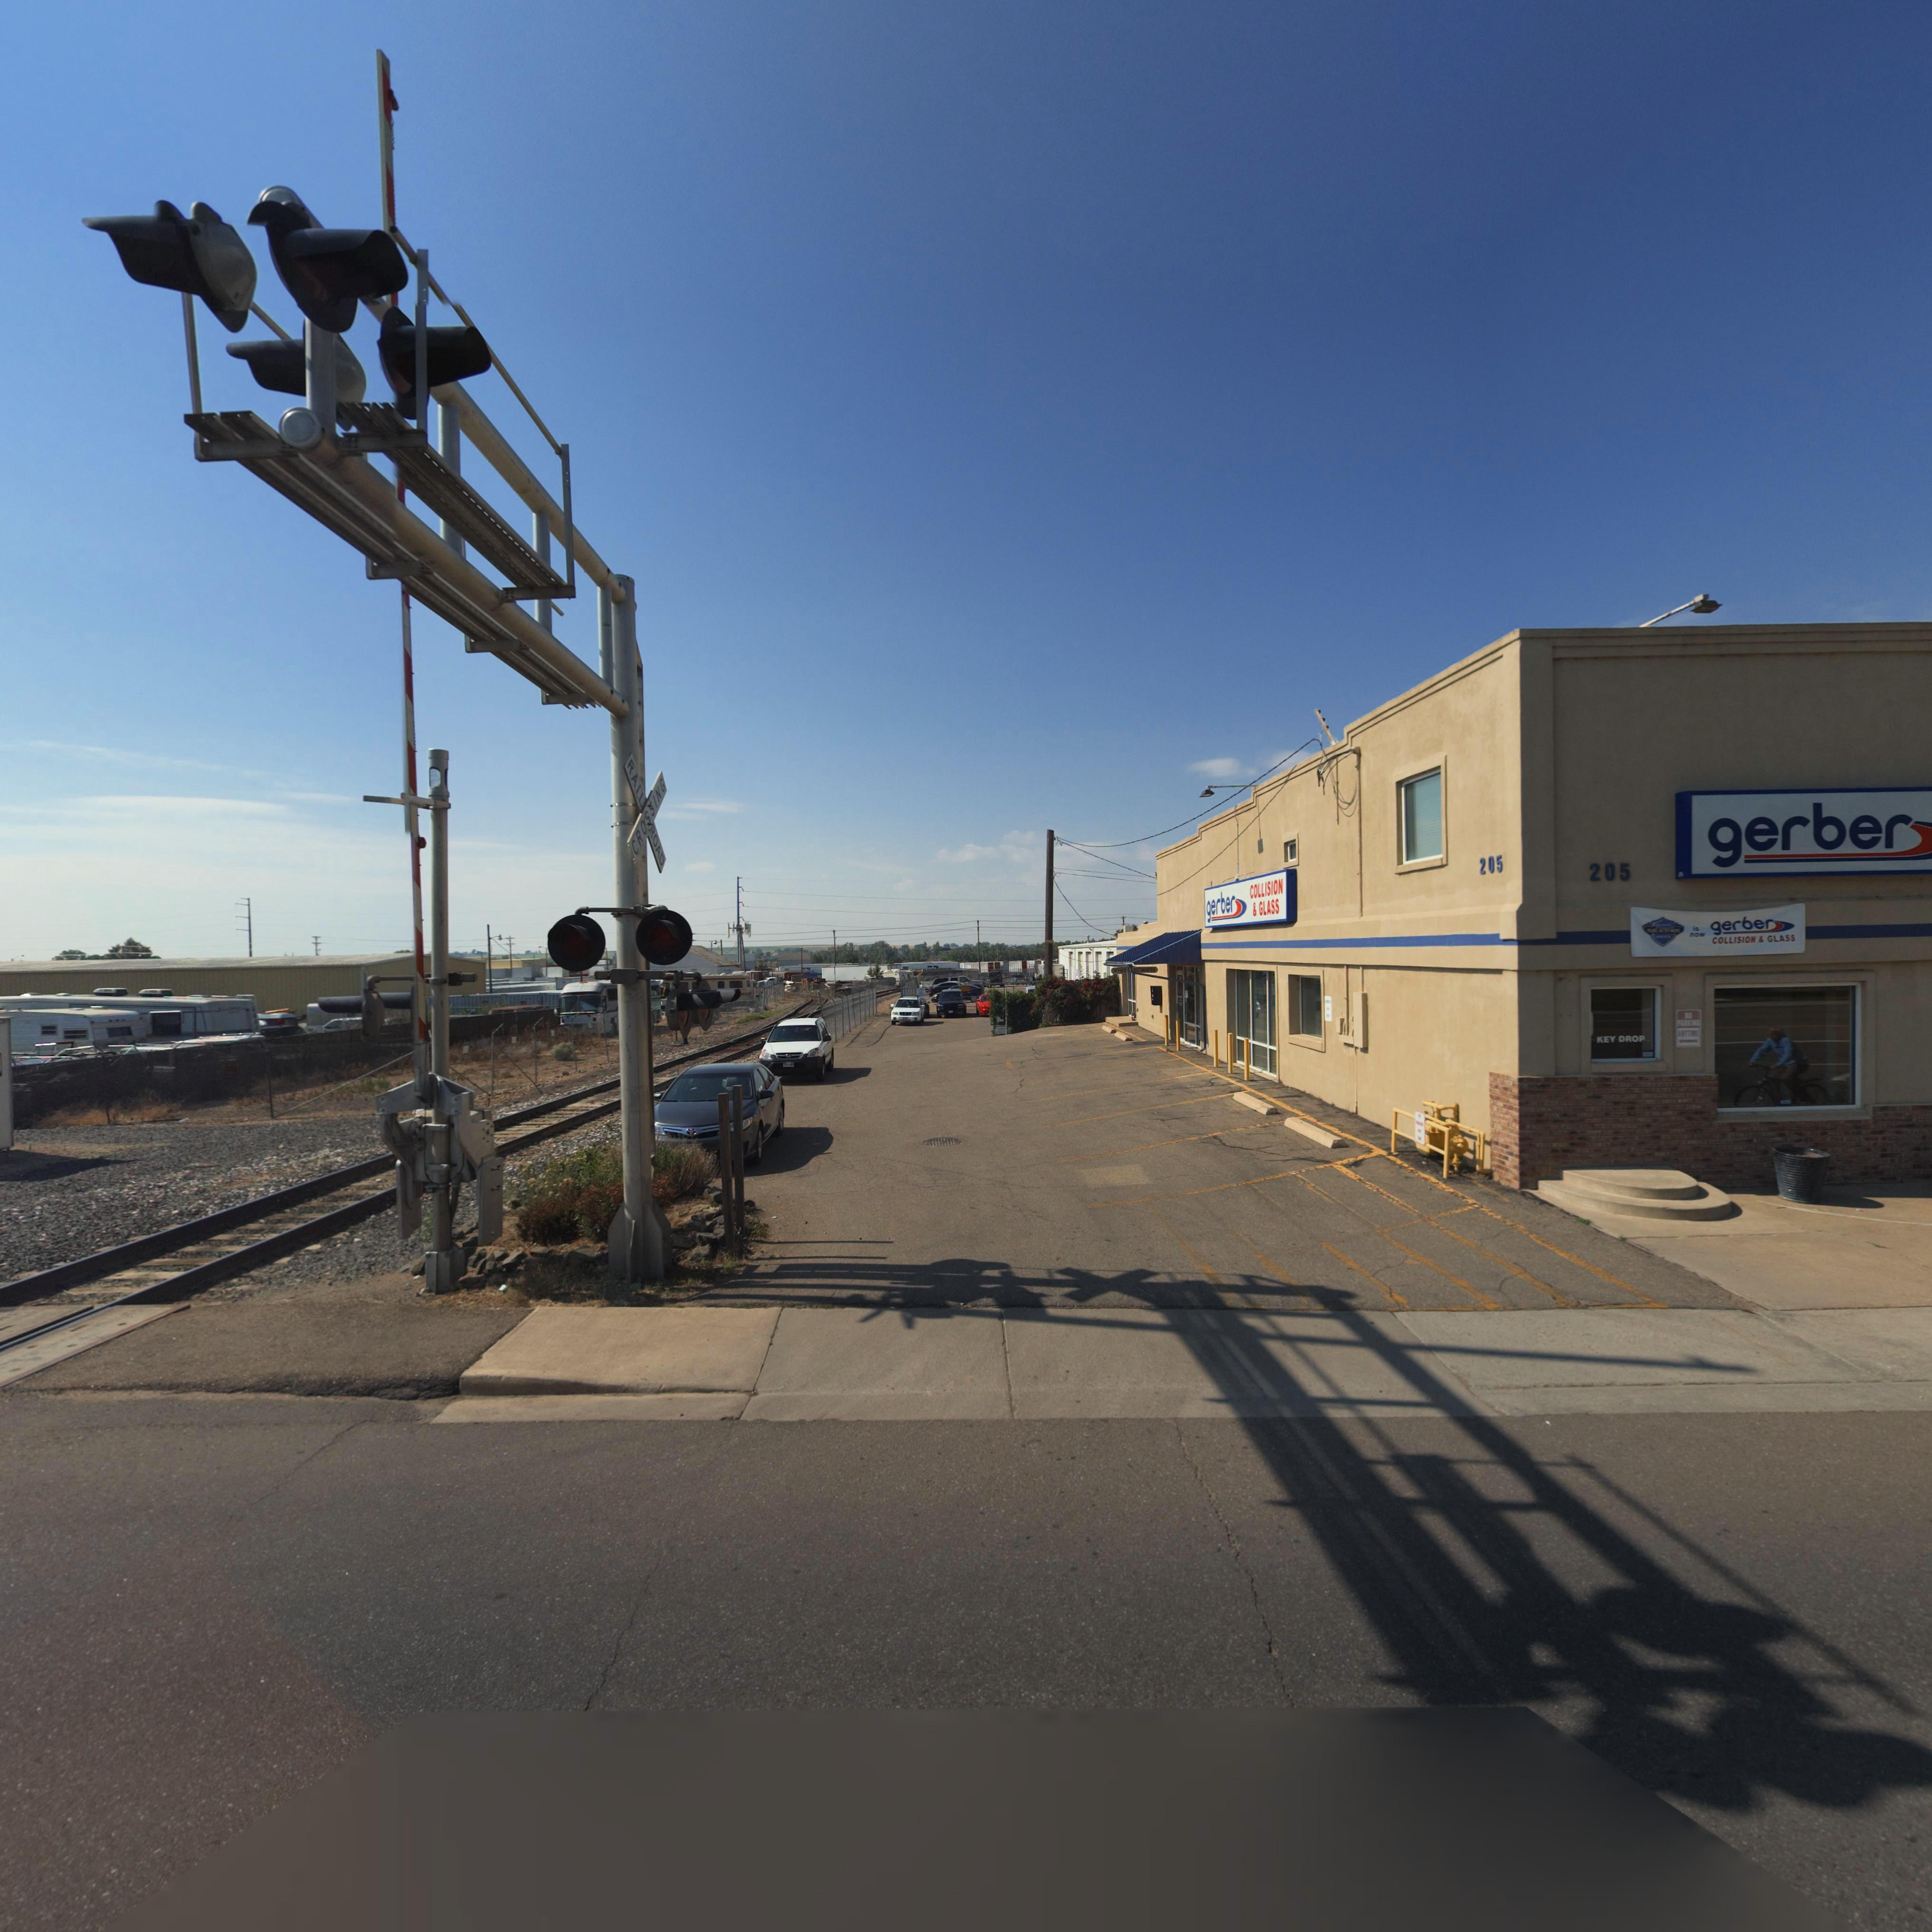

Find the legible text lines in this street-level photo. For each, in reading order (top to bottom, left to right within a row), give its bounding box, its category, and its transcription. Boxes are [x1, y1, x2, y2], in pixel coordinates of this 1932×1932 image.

[1704, 801, 1914, 869] BusinessName: gerber
[1479, 854, 1503, 875] StreetNumber: 205
[1587, 861, 1632, 882] StreetNumber: 205
[1249, 877, 1283, 899] BusinessName: COLLISION
[1204, 890, 1236, 924] BusinessName: gerber
[1252, 898, 1279, 917] BusinessName: & GLASS
[1709, 915, 1775, 936] BusinessName: gerber
[1711, 934, 1796, 944] BusinessName: COLLISION & GLASS